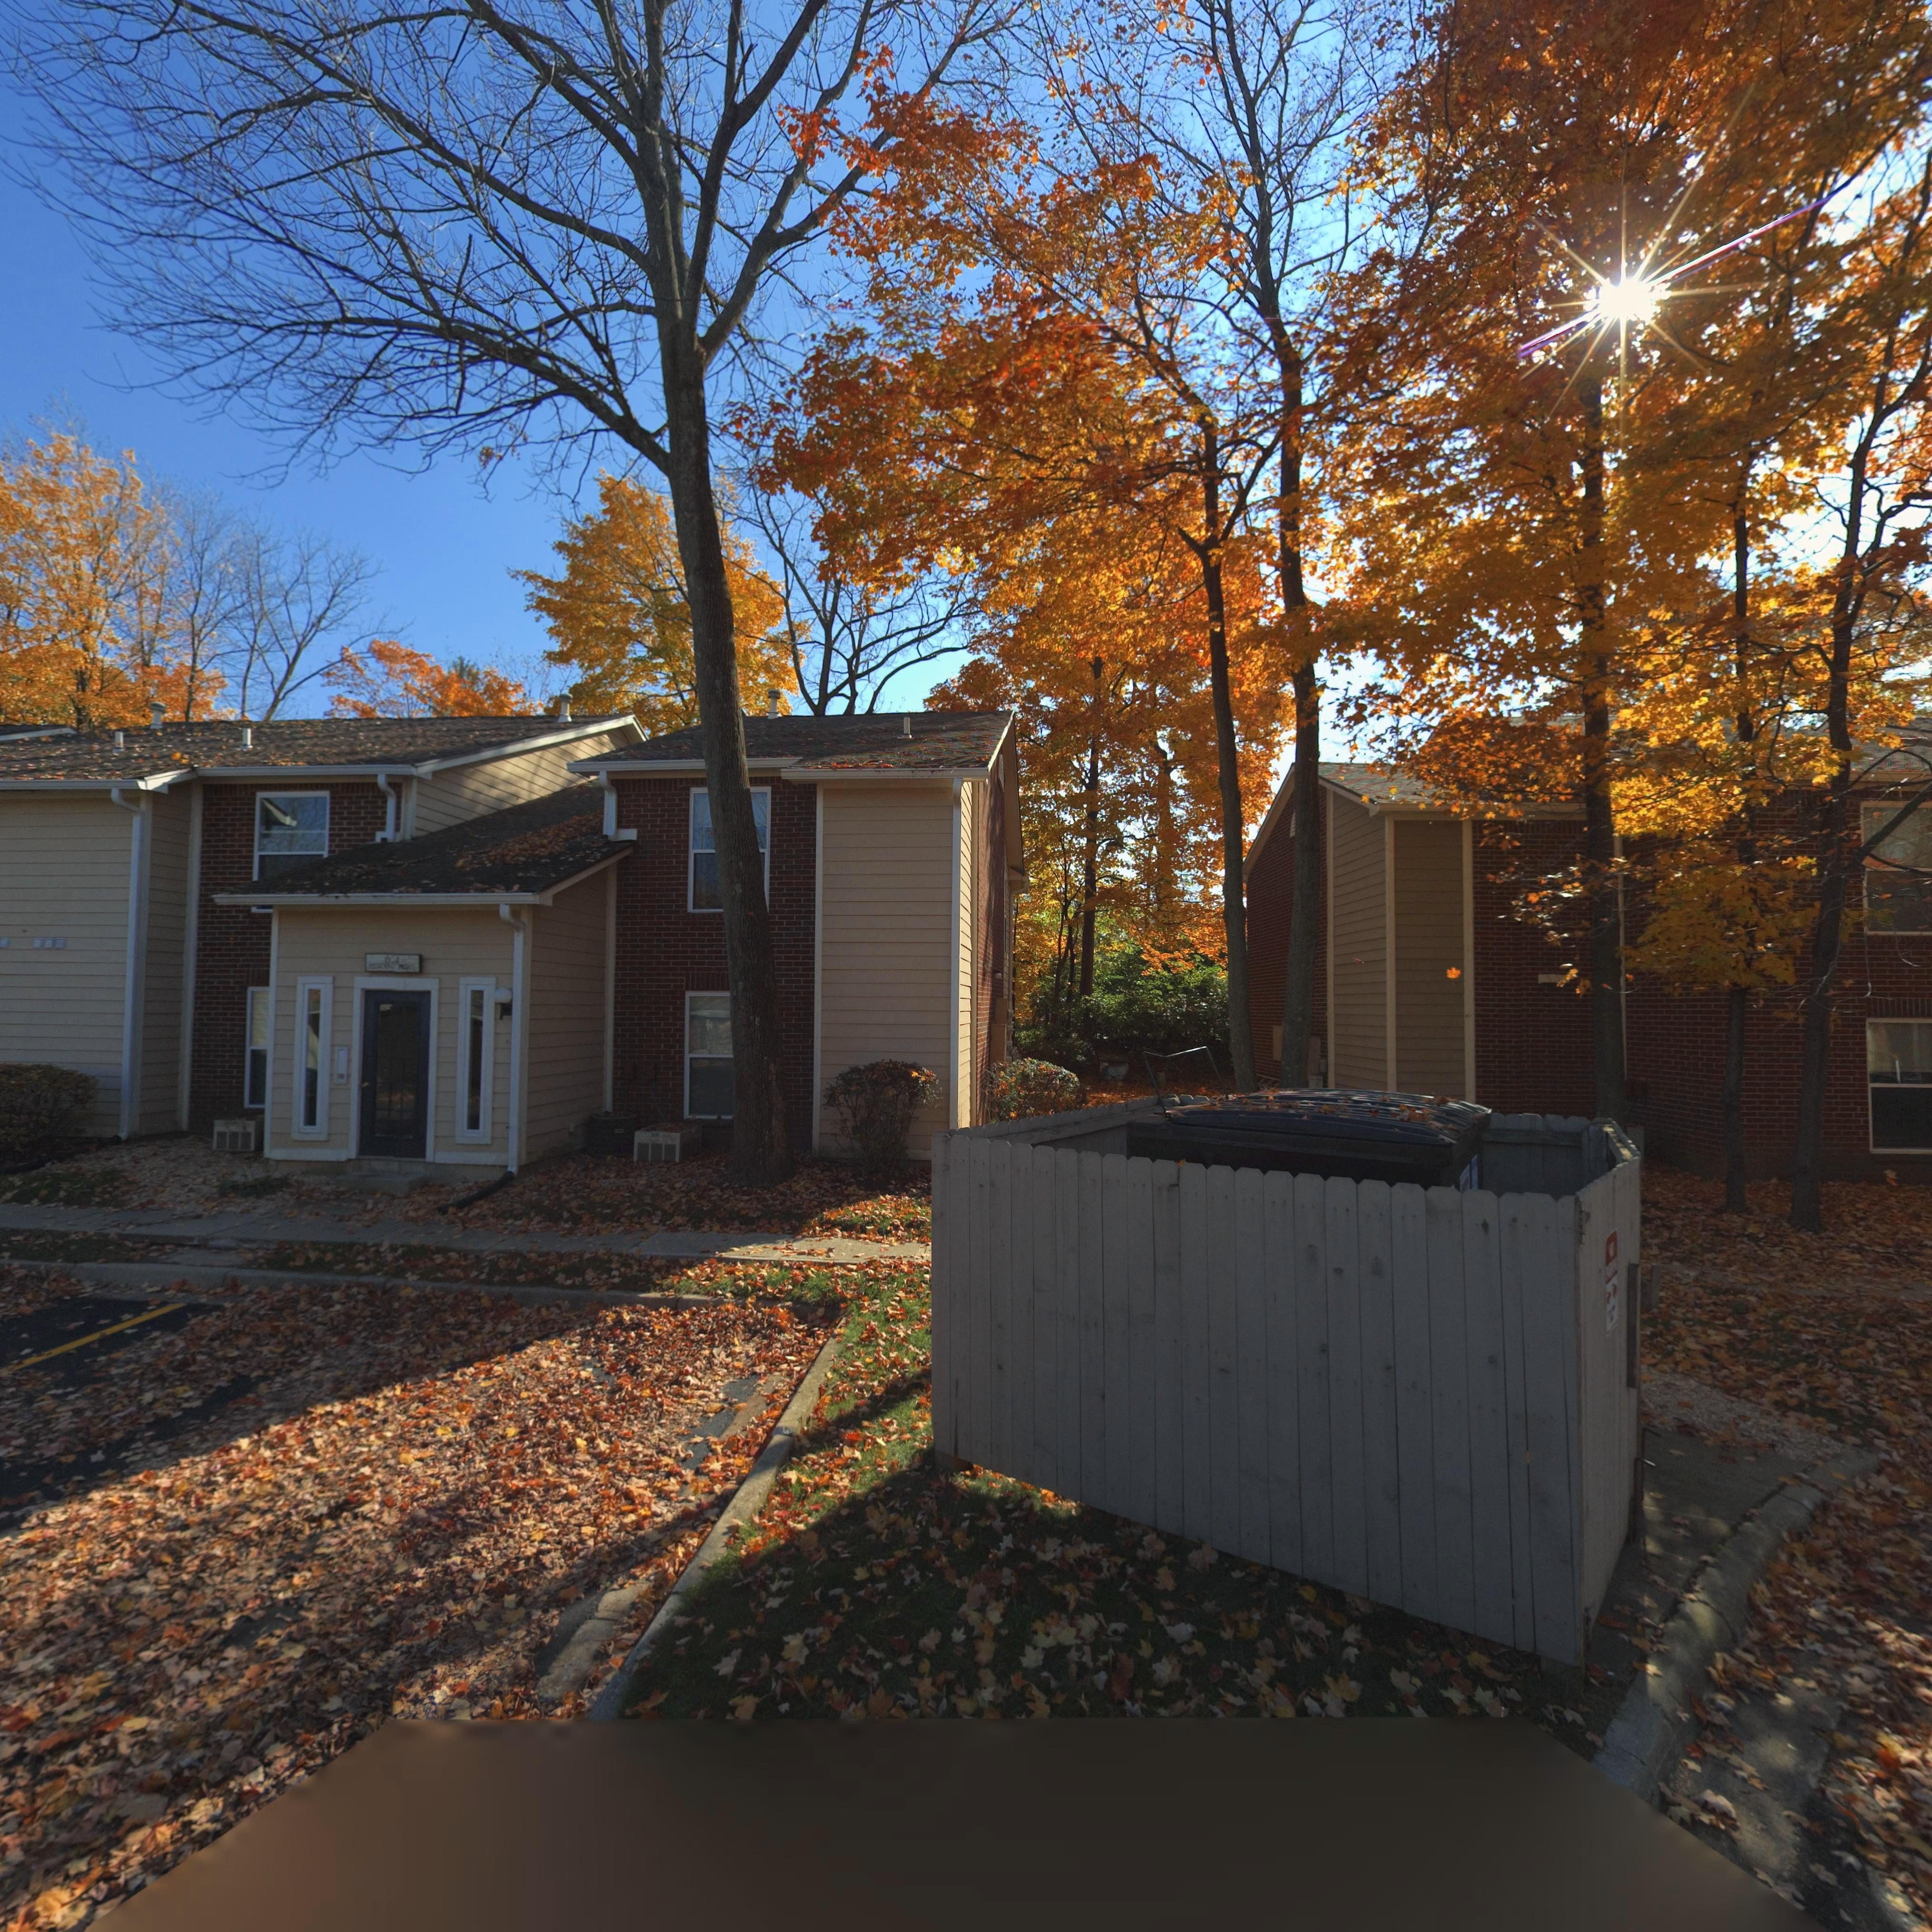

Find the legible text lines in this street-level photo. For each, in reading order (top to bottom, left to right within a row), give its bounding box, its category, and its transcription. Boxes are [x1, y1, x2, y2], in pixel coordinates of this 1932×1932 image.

[384, 953, 401, 965] StreetNumber: 6**